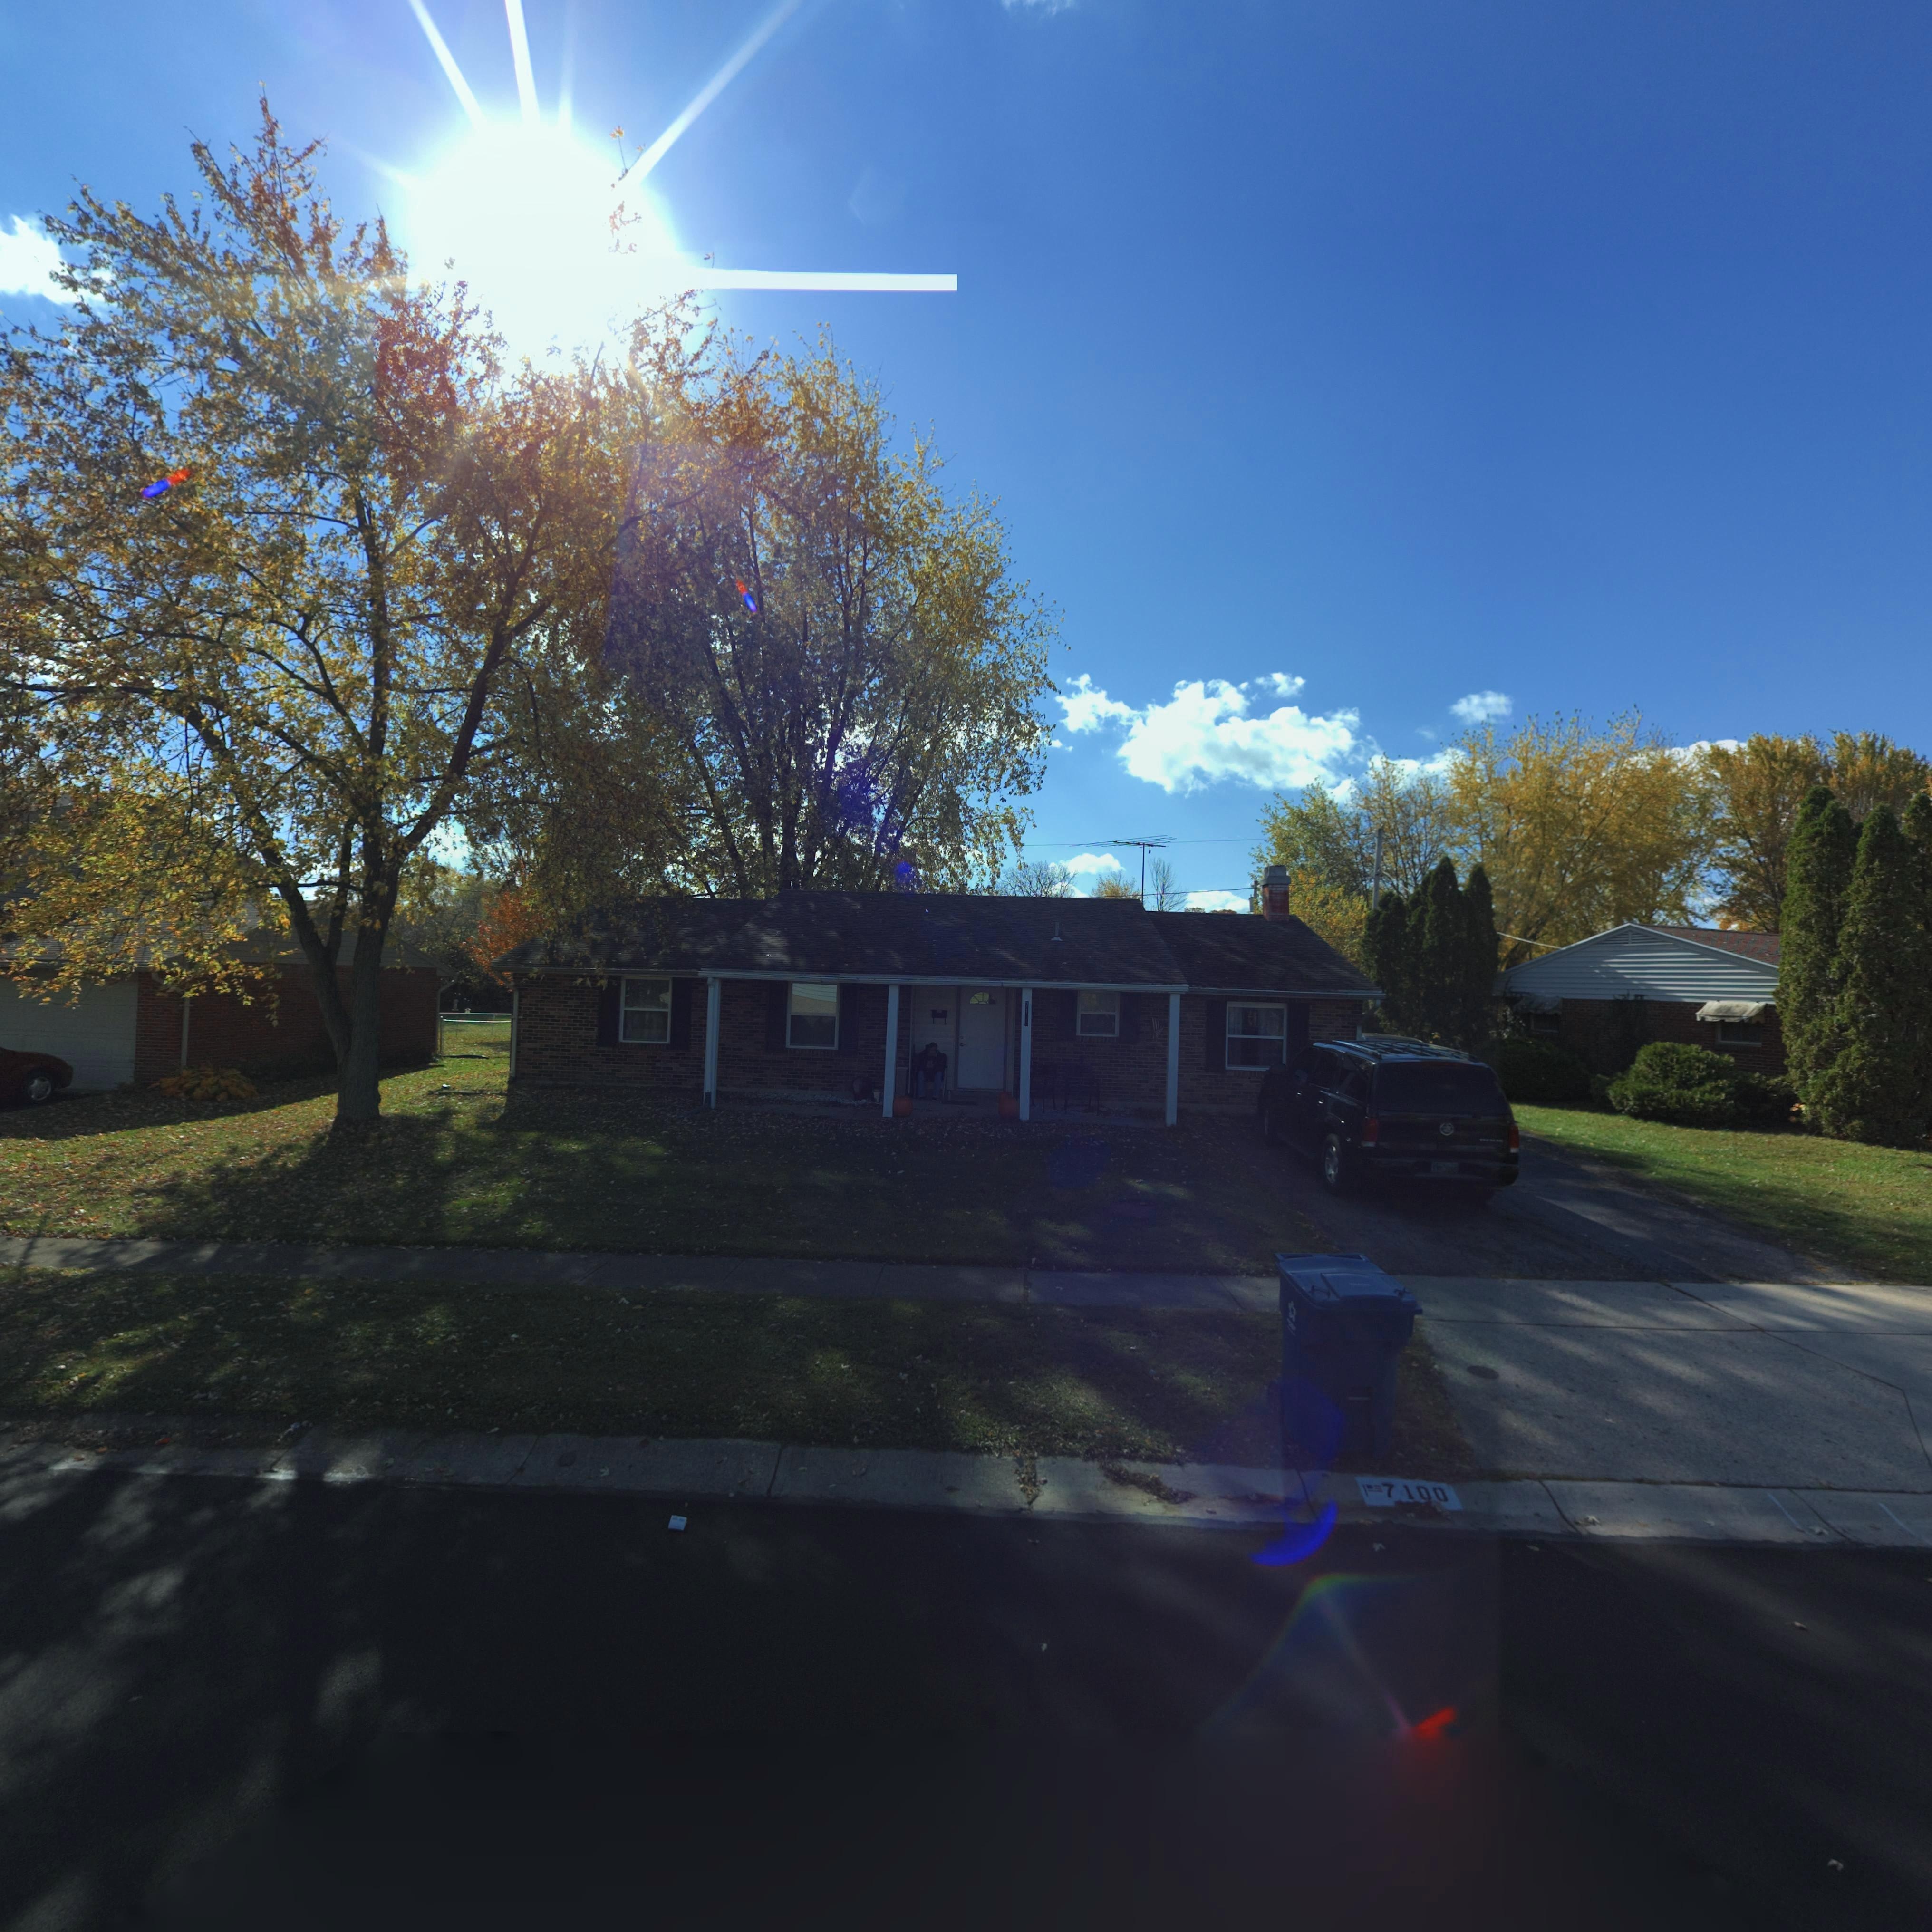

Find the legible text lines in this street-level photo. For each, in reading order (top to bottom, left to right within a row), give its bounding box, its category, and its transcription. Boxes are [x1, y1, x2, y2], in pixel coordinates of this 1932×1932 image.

[1024, 1001, 1029, 1015] StreetNumber: 71
[1379, 1481, 1450, 1504] StreetNumber: 7100